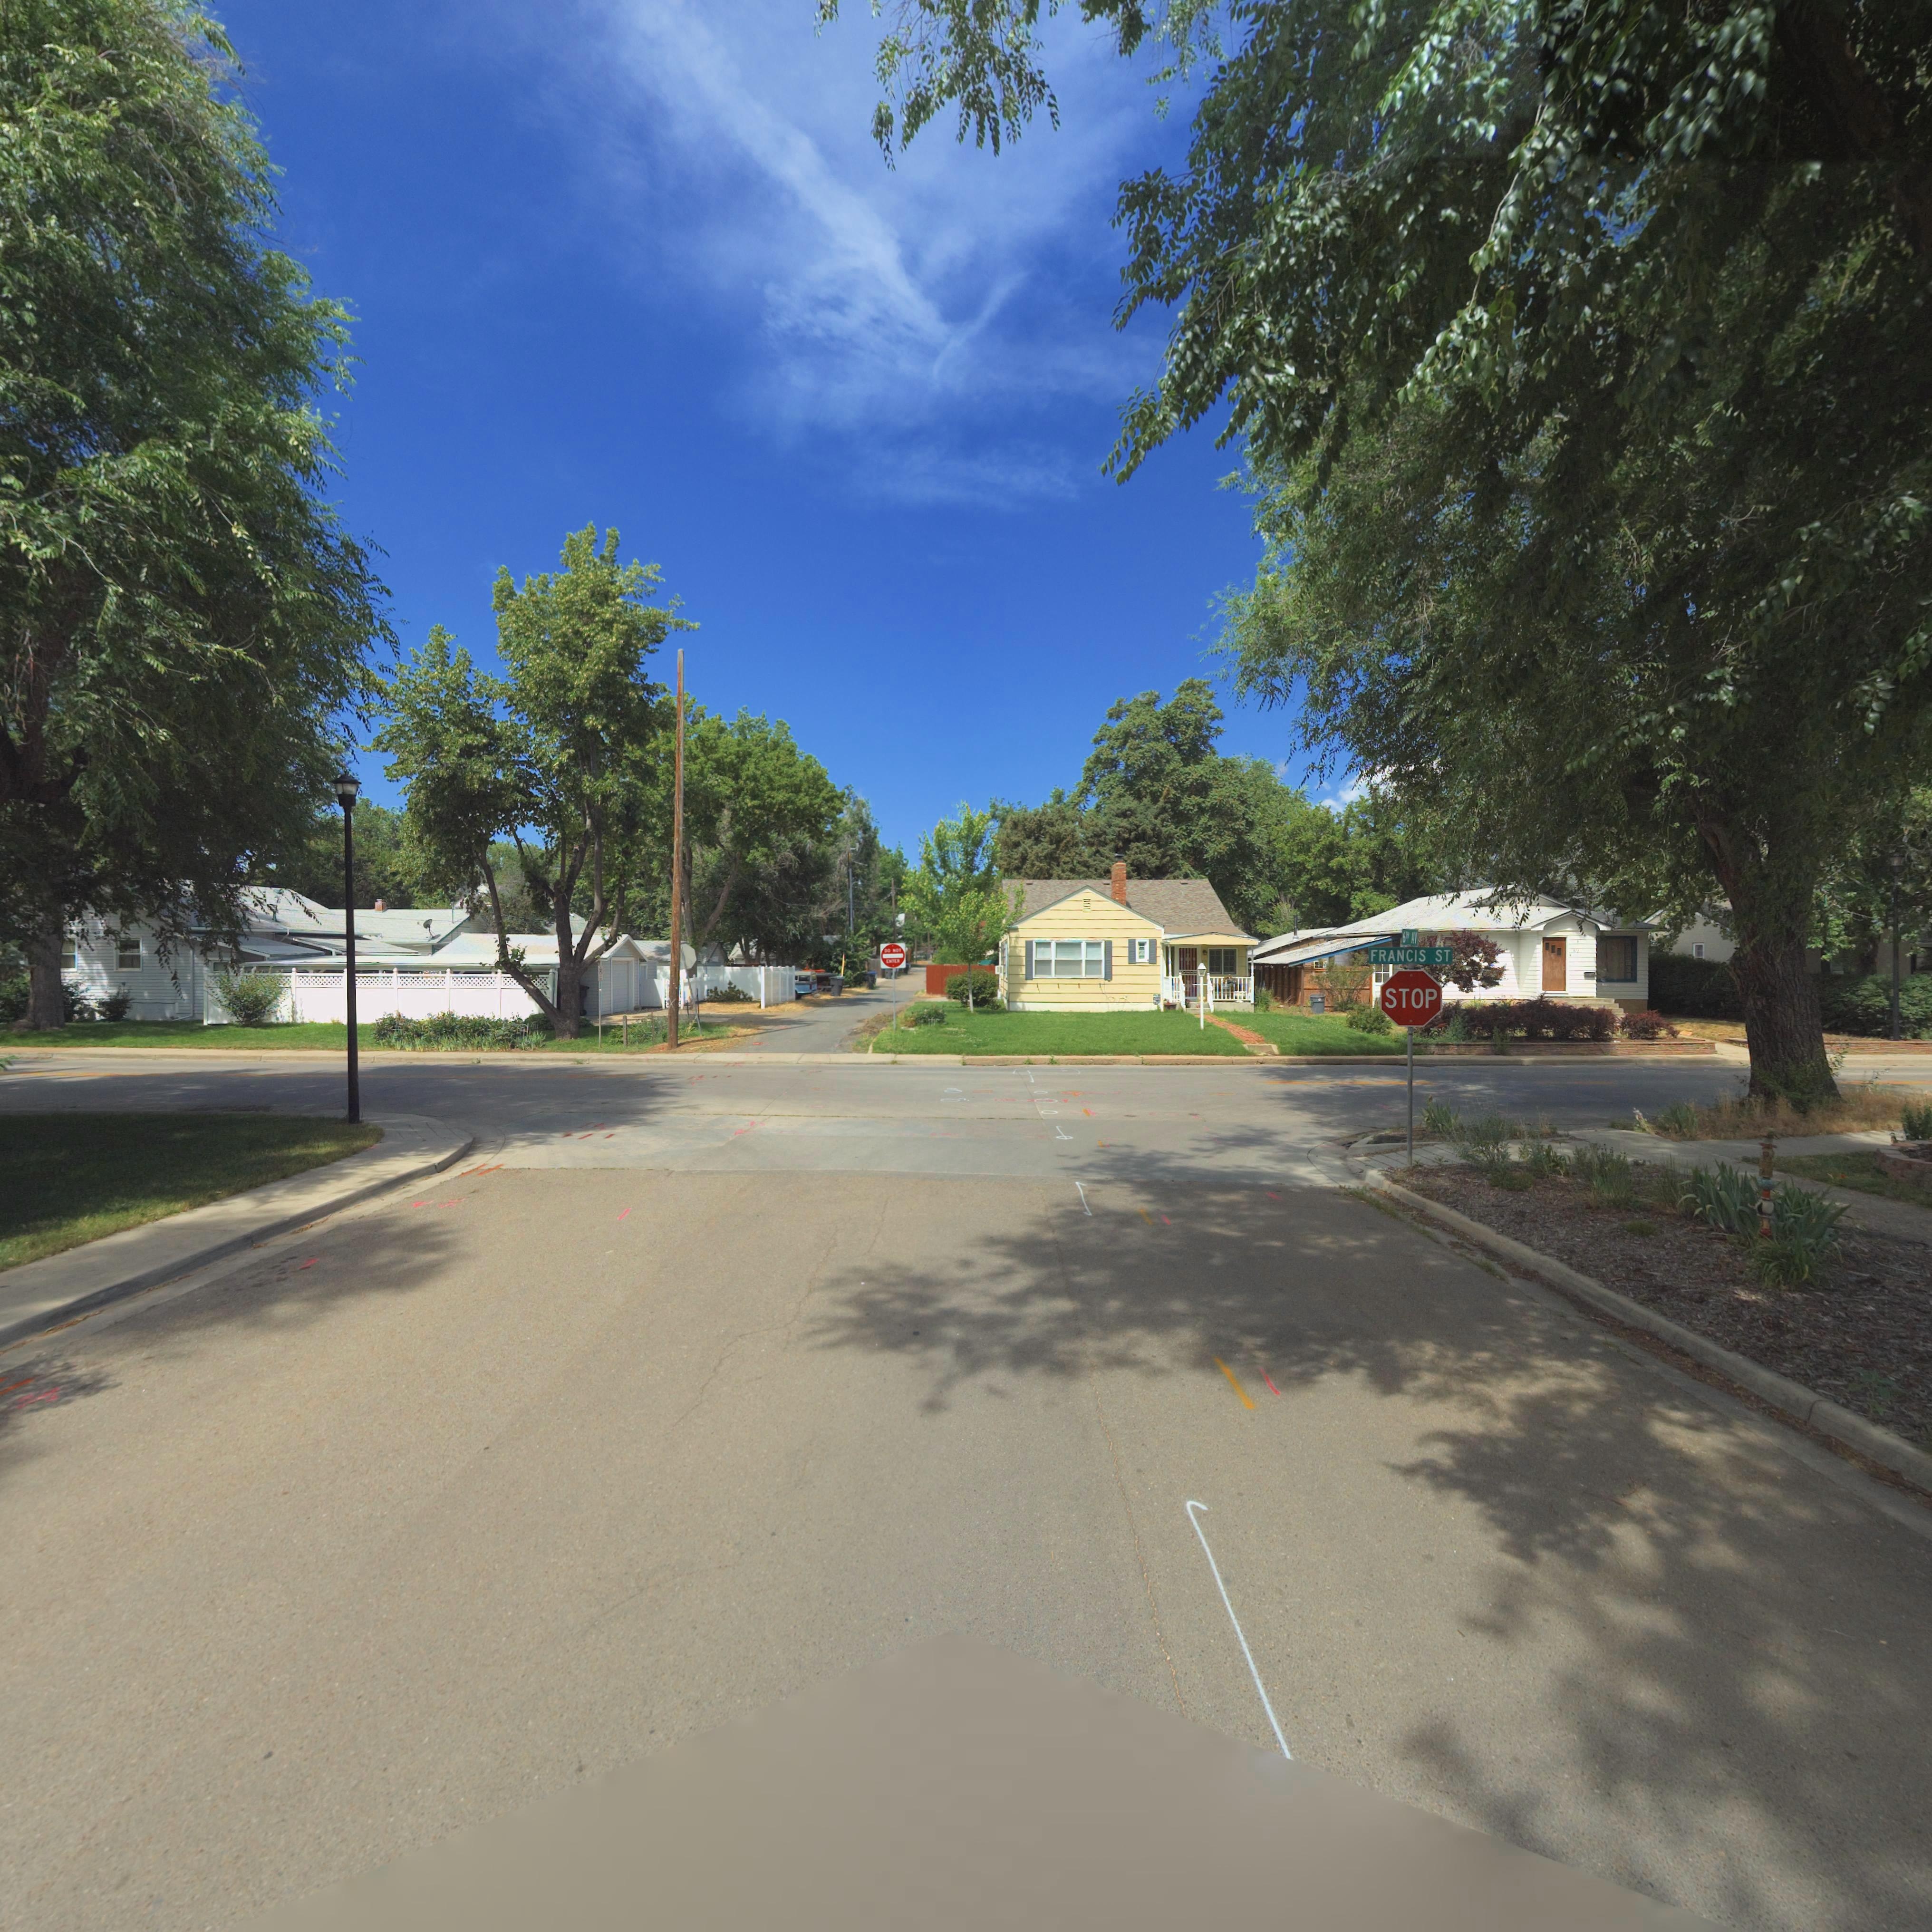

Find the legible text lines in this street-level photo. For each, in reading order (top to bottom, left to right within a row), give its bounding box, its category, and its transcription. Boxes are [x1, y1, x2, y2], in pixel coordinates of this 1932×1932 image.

[1402, 931, 1417, 944] StreetName: 6** AV
[1371, 949, 1450, 962] StreetName: FRANCIS ST